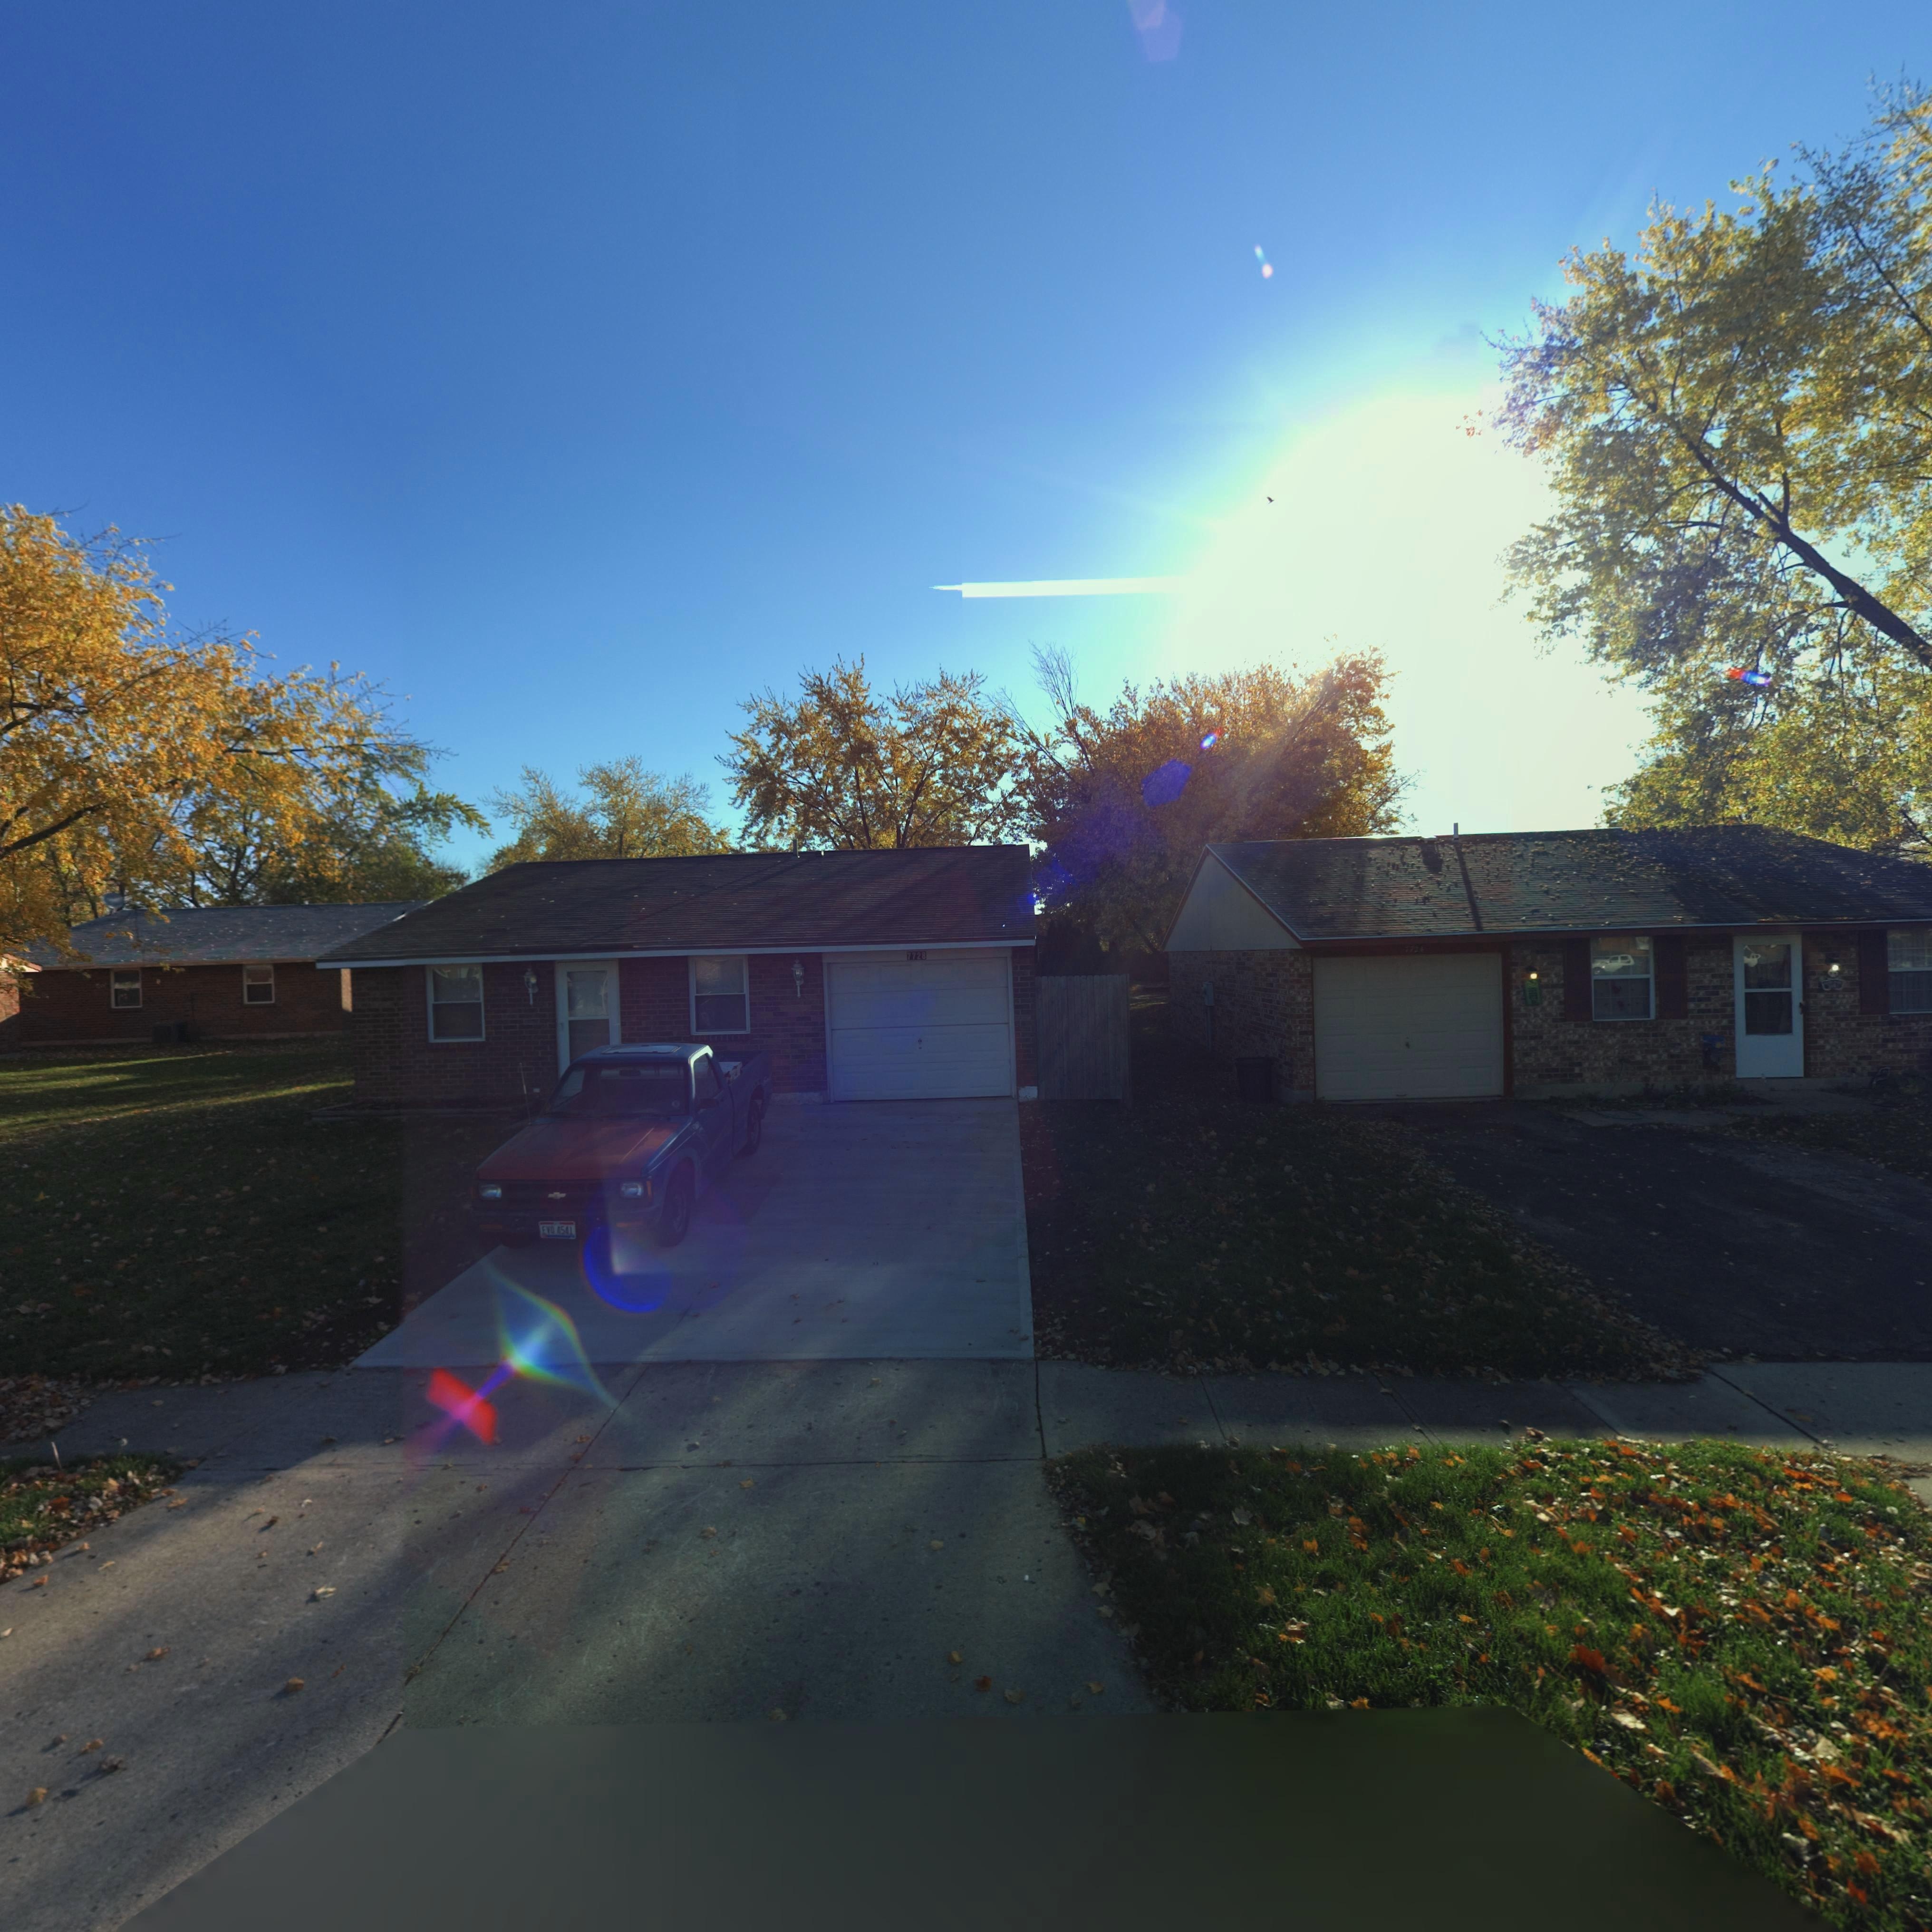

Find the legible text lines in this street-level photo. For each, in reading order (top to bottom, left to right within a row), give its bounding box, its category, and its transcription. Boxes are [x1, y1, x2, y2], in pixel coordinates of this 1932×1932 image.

[1403, 945, 1425, 954] StreetNumber: 7724
[906, 951, 927, 961] StreetNumber: 7728
[541, 1225, 575, 1237] None: EVO 4541